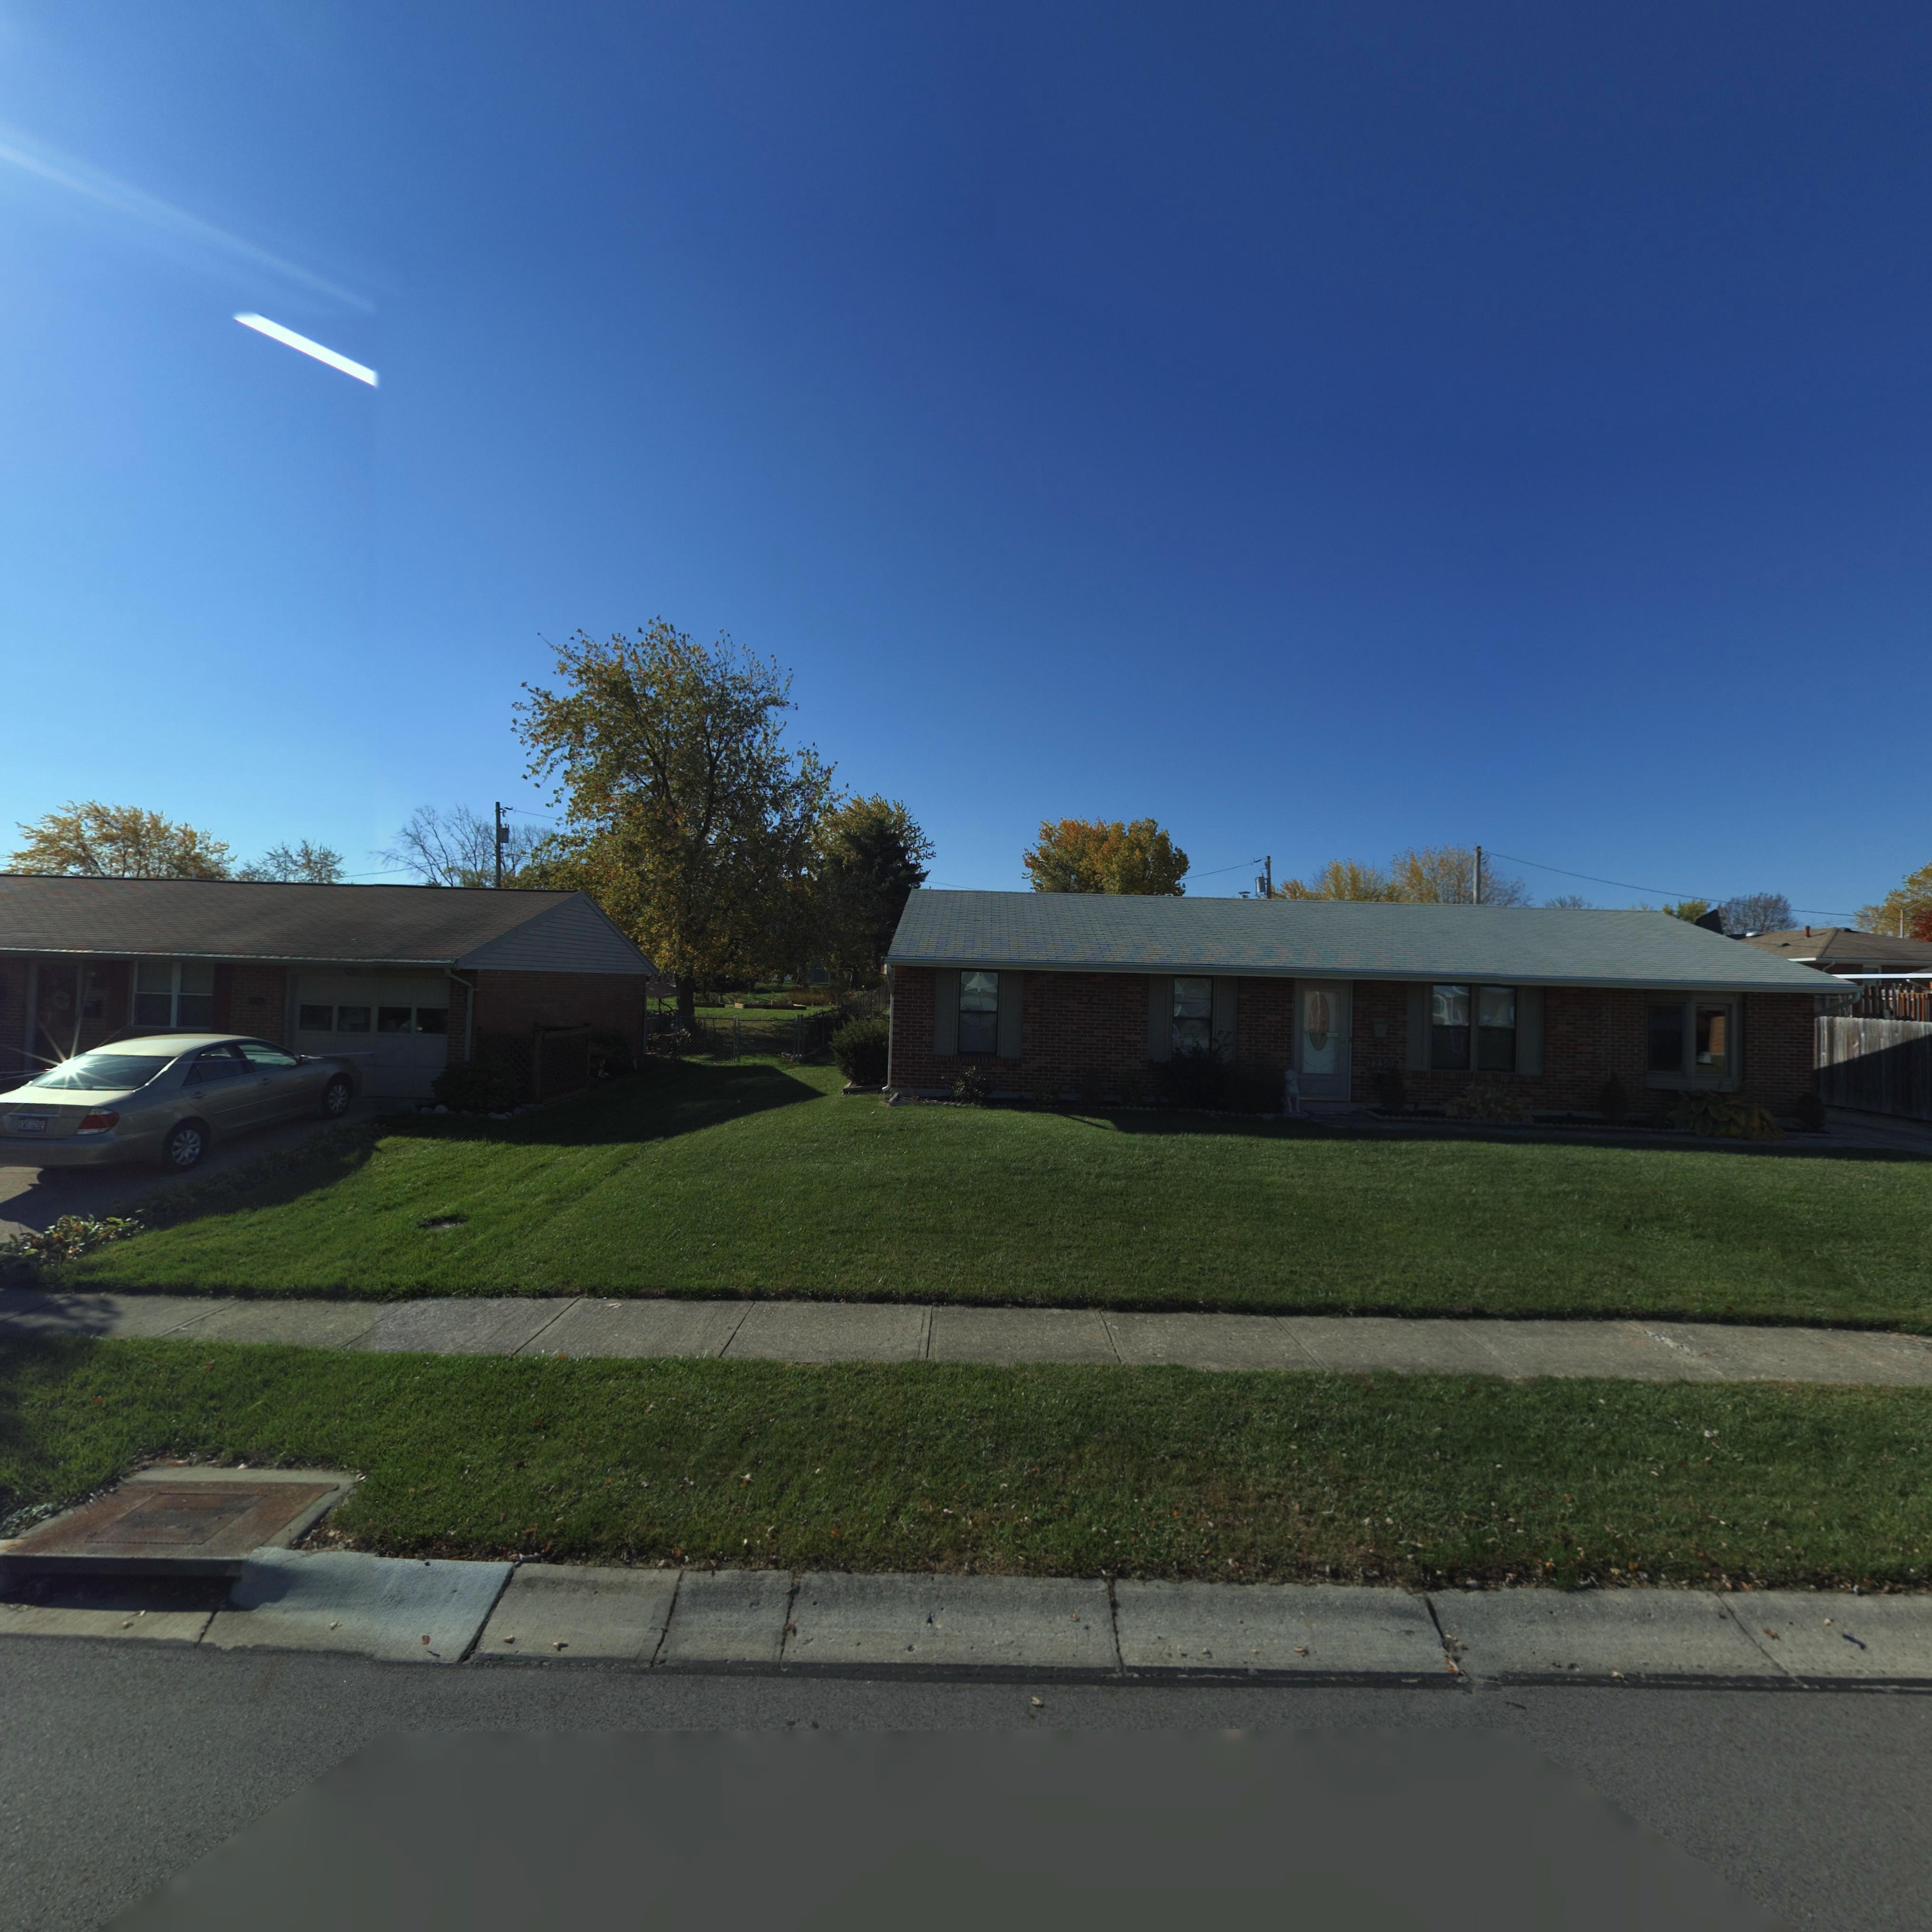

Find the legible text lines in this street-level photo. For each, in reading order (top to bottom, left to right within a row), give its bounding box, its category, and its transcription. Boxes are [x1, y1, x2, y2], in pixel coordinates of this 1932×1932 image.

[1366, 1058, 1393, 1069] StreetNumber: 7230